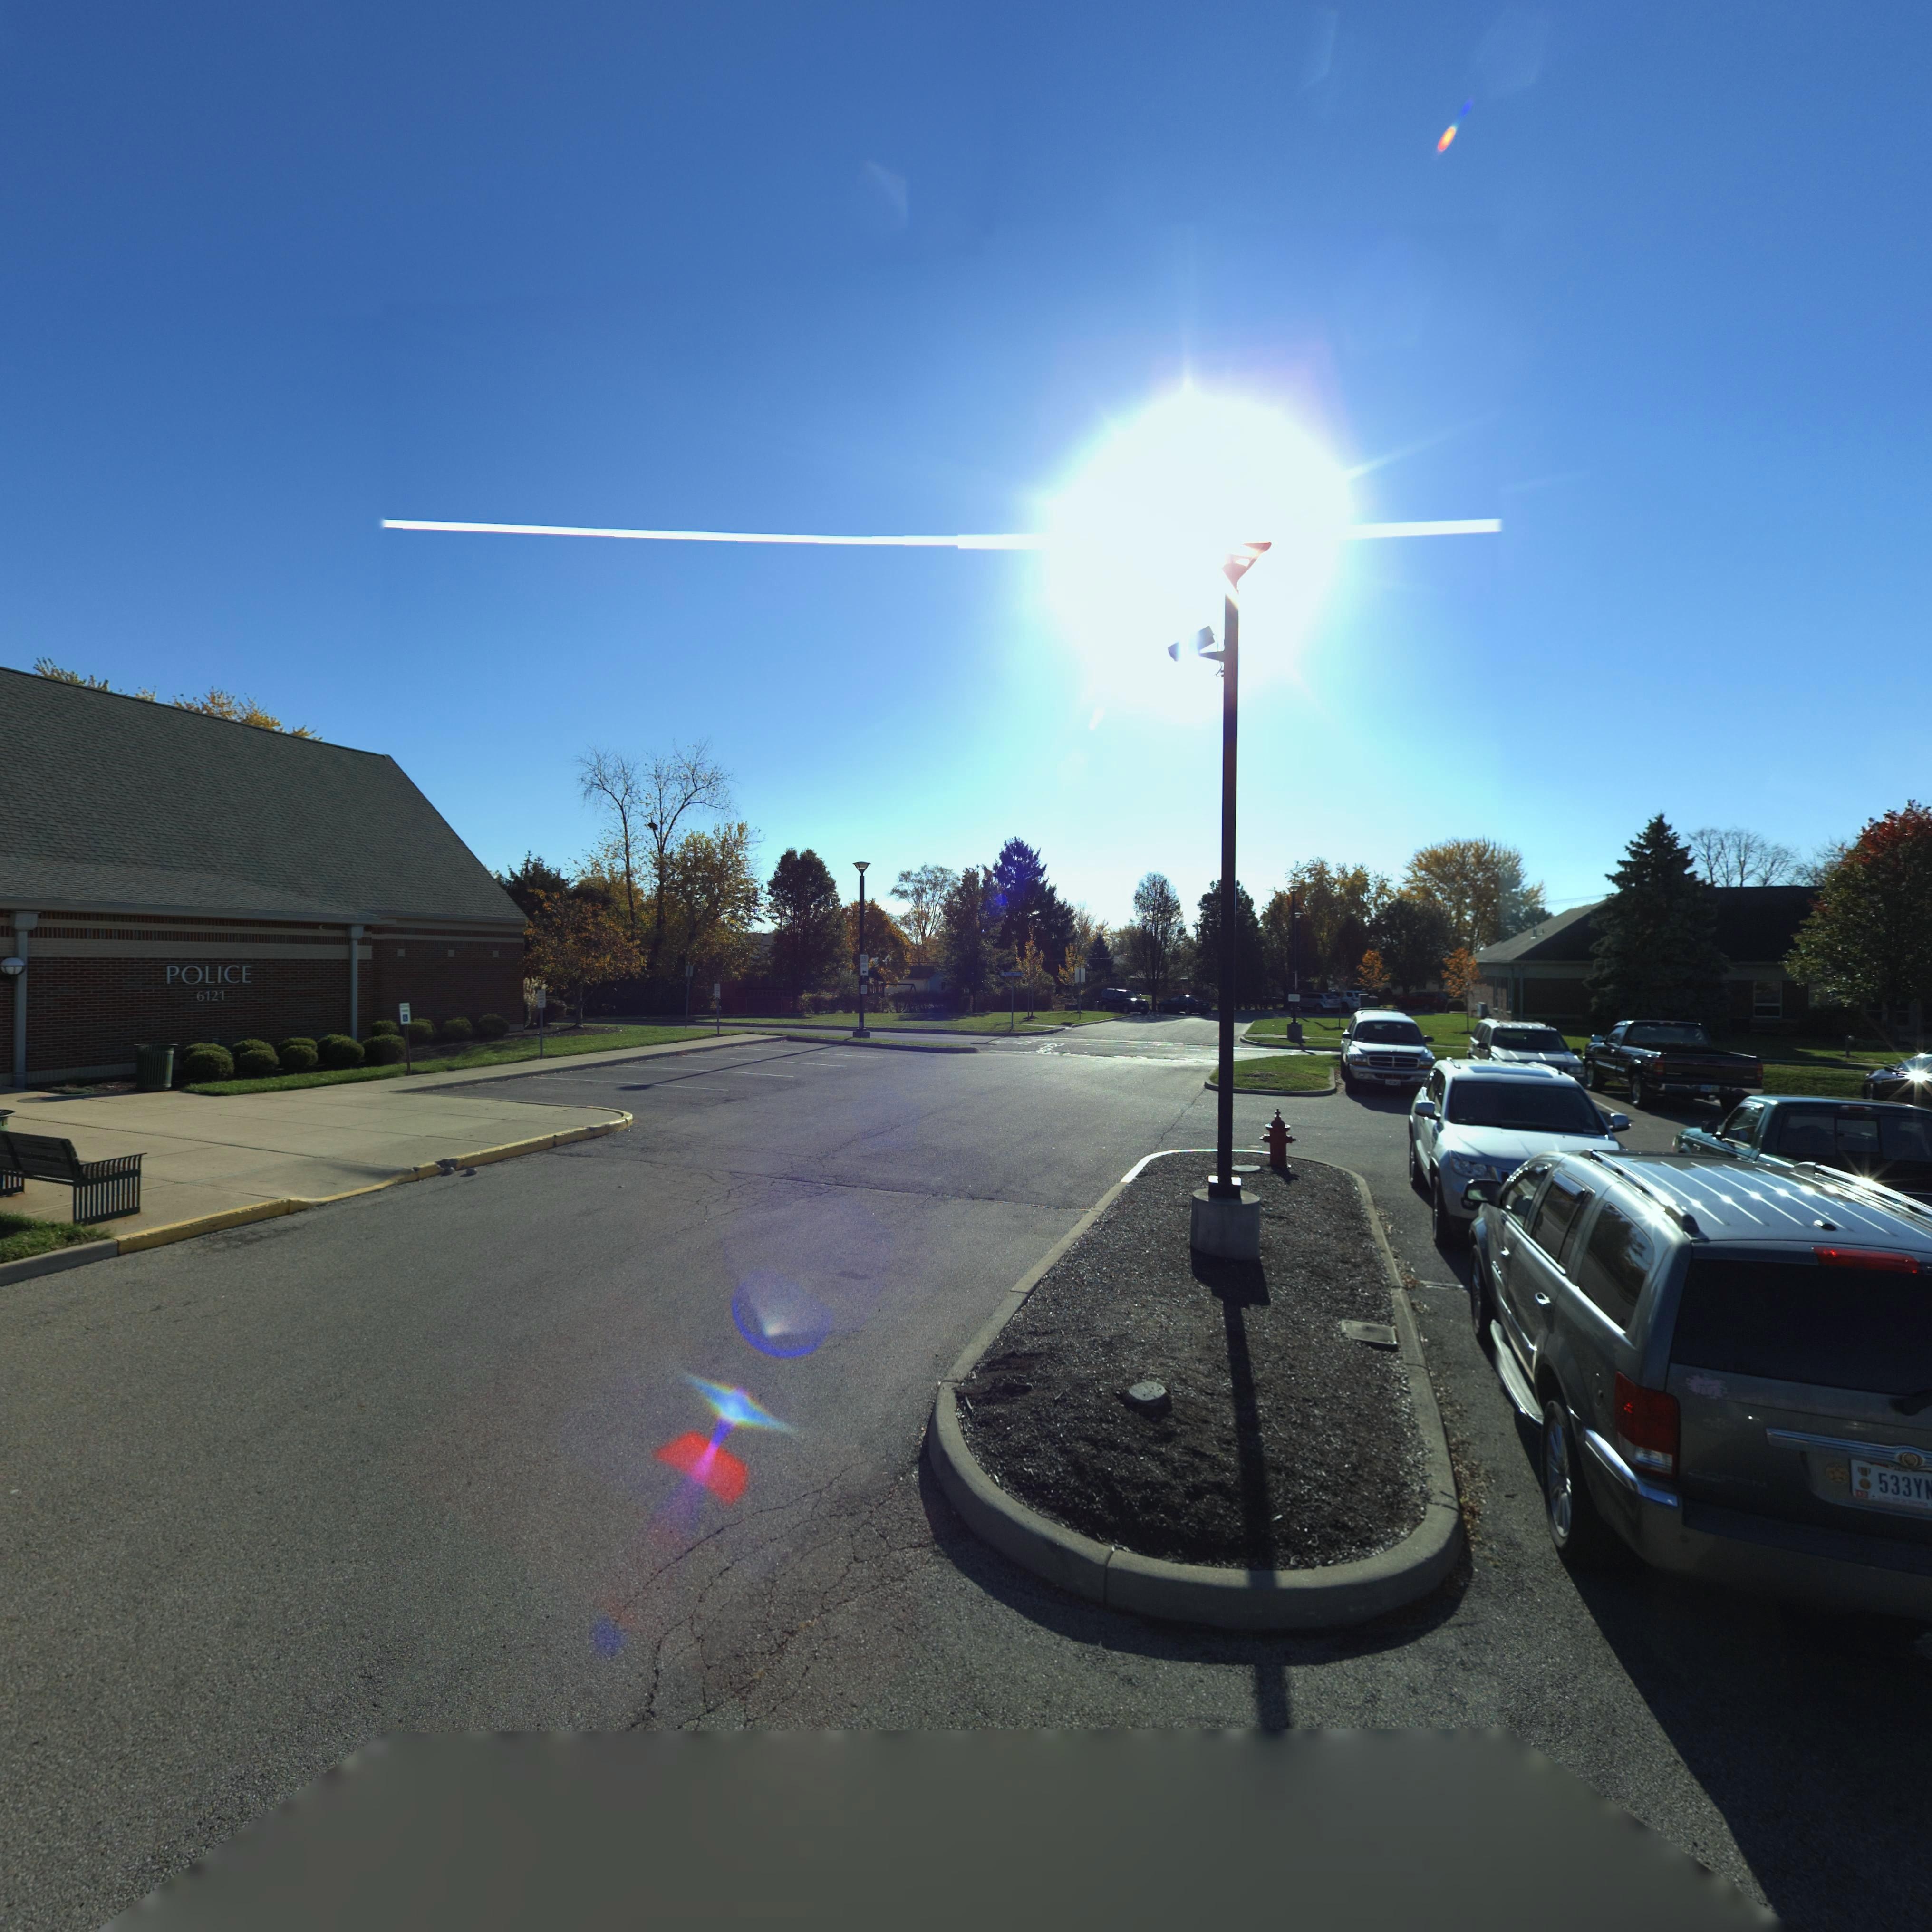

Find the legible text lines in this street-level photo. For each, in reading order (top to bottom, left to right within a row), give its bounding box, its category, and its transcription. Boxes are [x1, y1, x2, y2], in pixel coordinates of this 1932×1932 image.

[195, 990, 225, 1002] StreetNumber: 6121